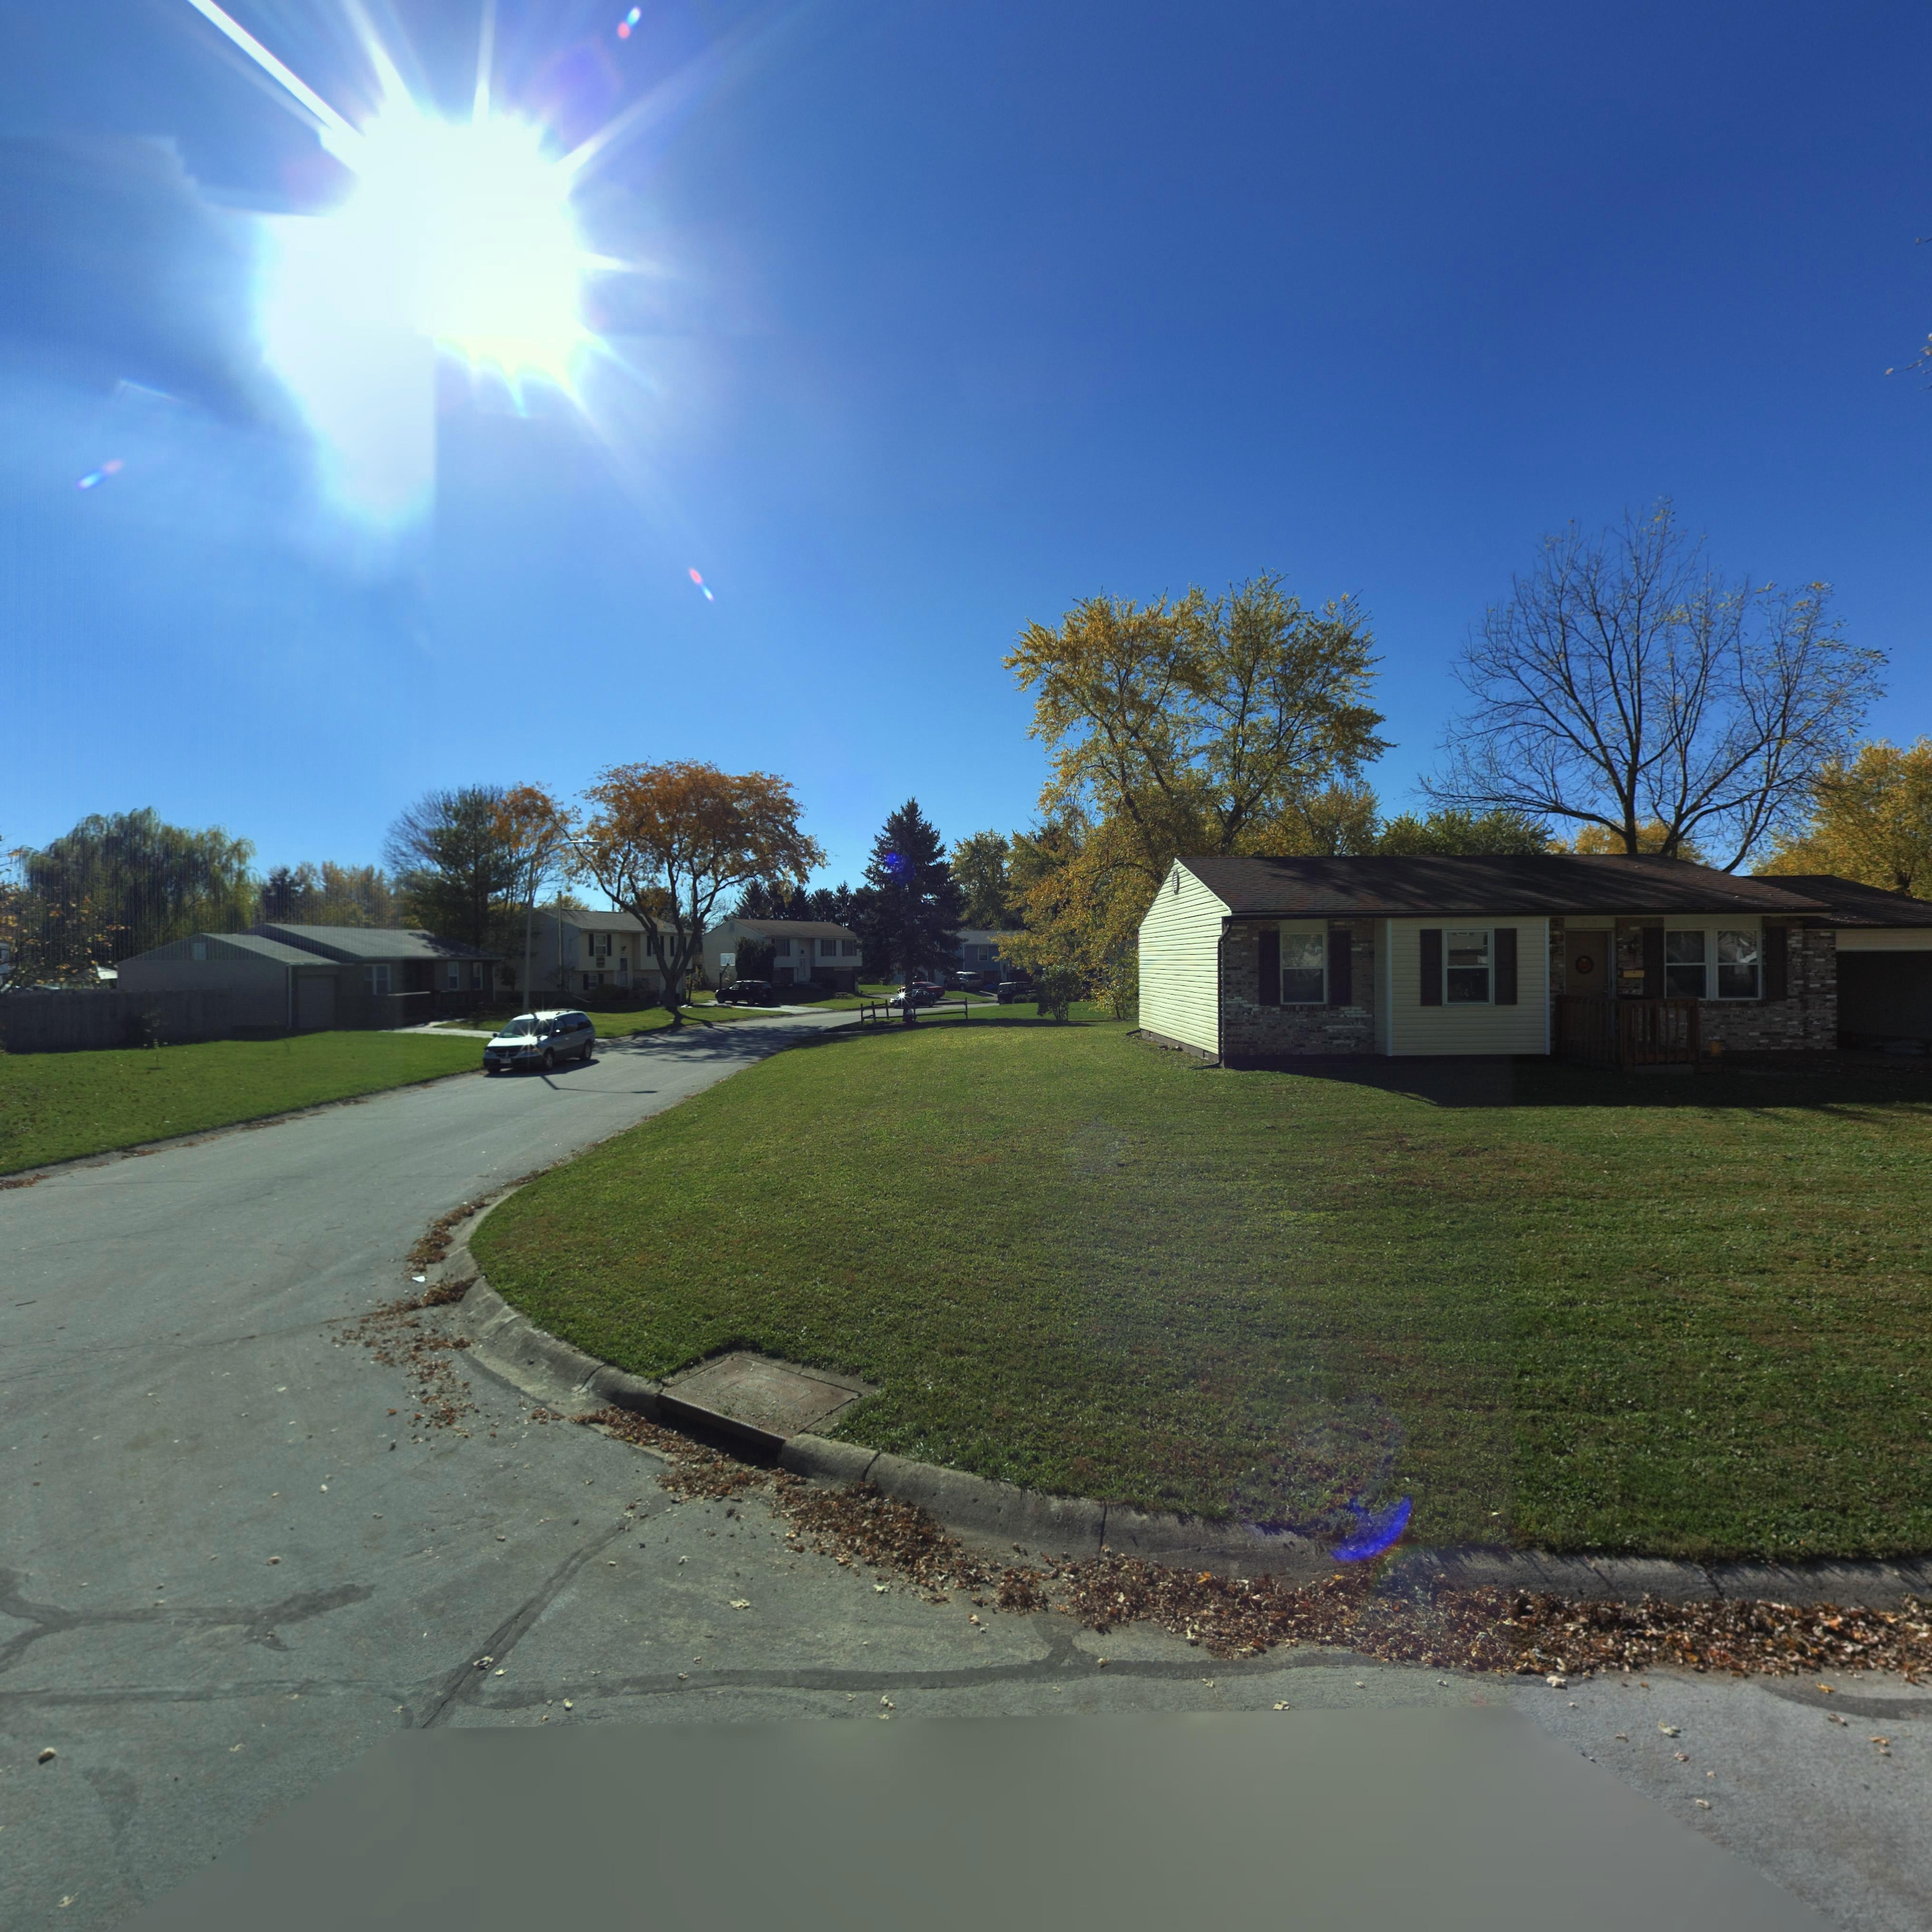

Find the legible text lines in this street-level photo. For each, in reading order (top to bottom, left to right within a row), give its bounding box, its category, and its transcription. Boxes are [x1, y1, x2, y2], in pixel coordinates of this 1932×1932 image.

[1578, 918, 1598, 928] StreetNumber: 703